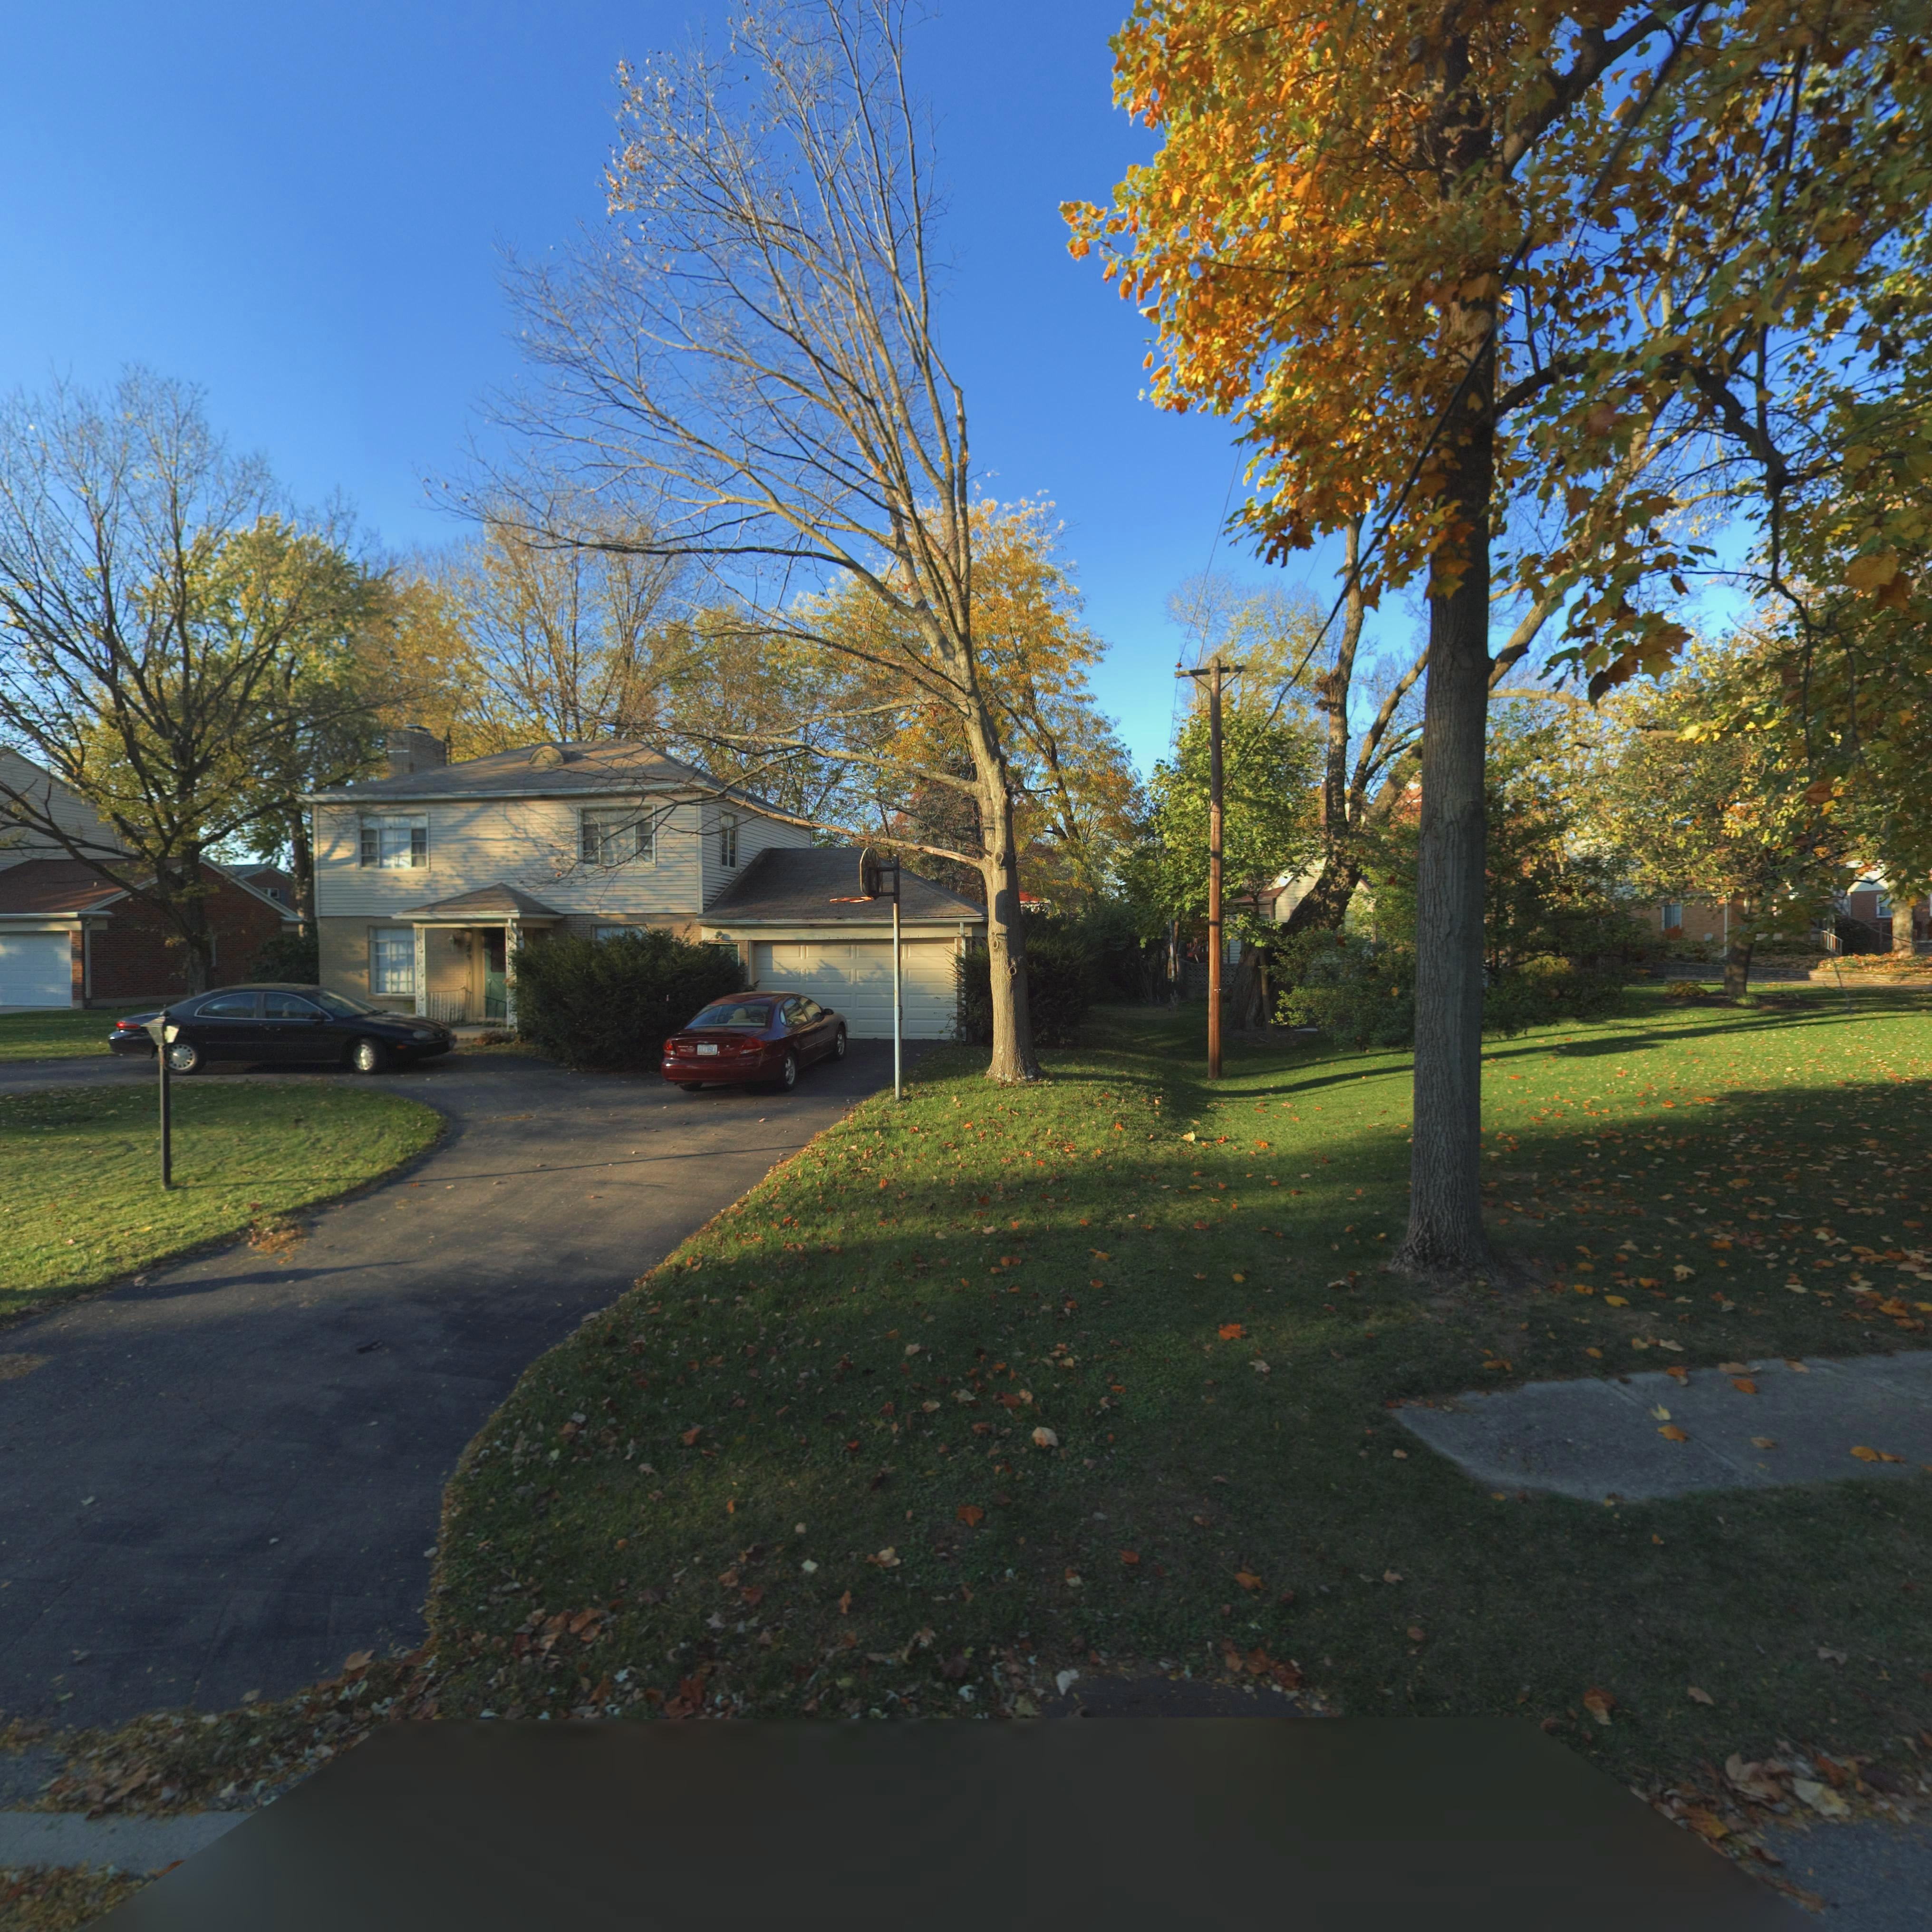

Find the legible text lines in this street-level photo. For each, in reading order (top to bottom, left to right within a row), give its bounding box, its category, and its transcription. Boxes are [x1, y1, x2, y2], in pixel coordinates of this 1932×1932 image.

[465, 940, 472, 961] StreetNumber: 2*9